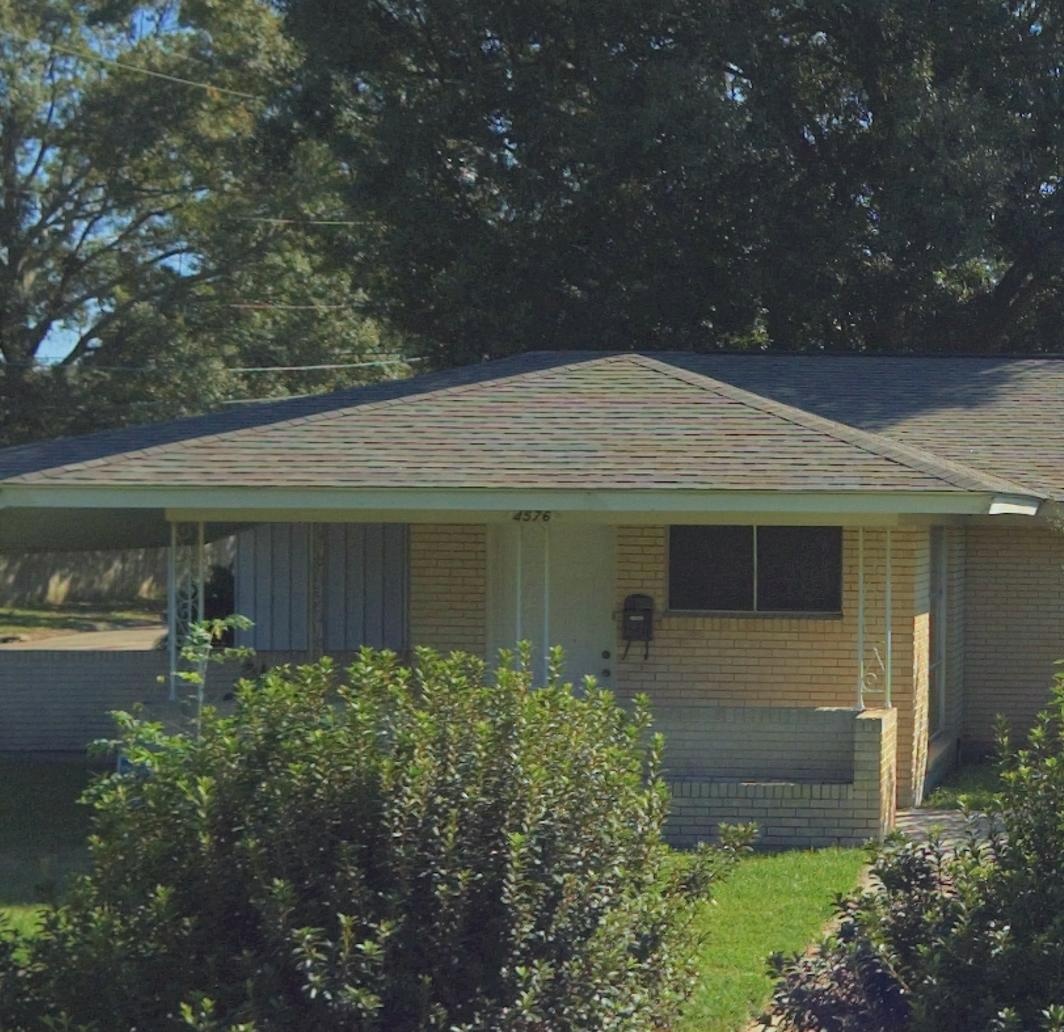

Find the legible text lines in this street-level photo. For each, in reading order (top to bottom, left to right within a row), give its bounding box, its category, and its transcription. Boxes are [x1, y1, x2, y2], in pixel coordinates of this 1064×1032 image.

[513, 510, 552, 522] StreetNumber: 4576